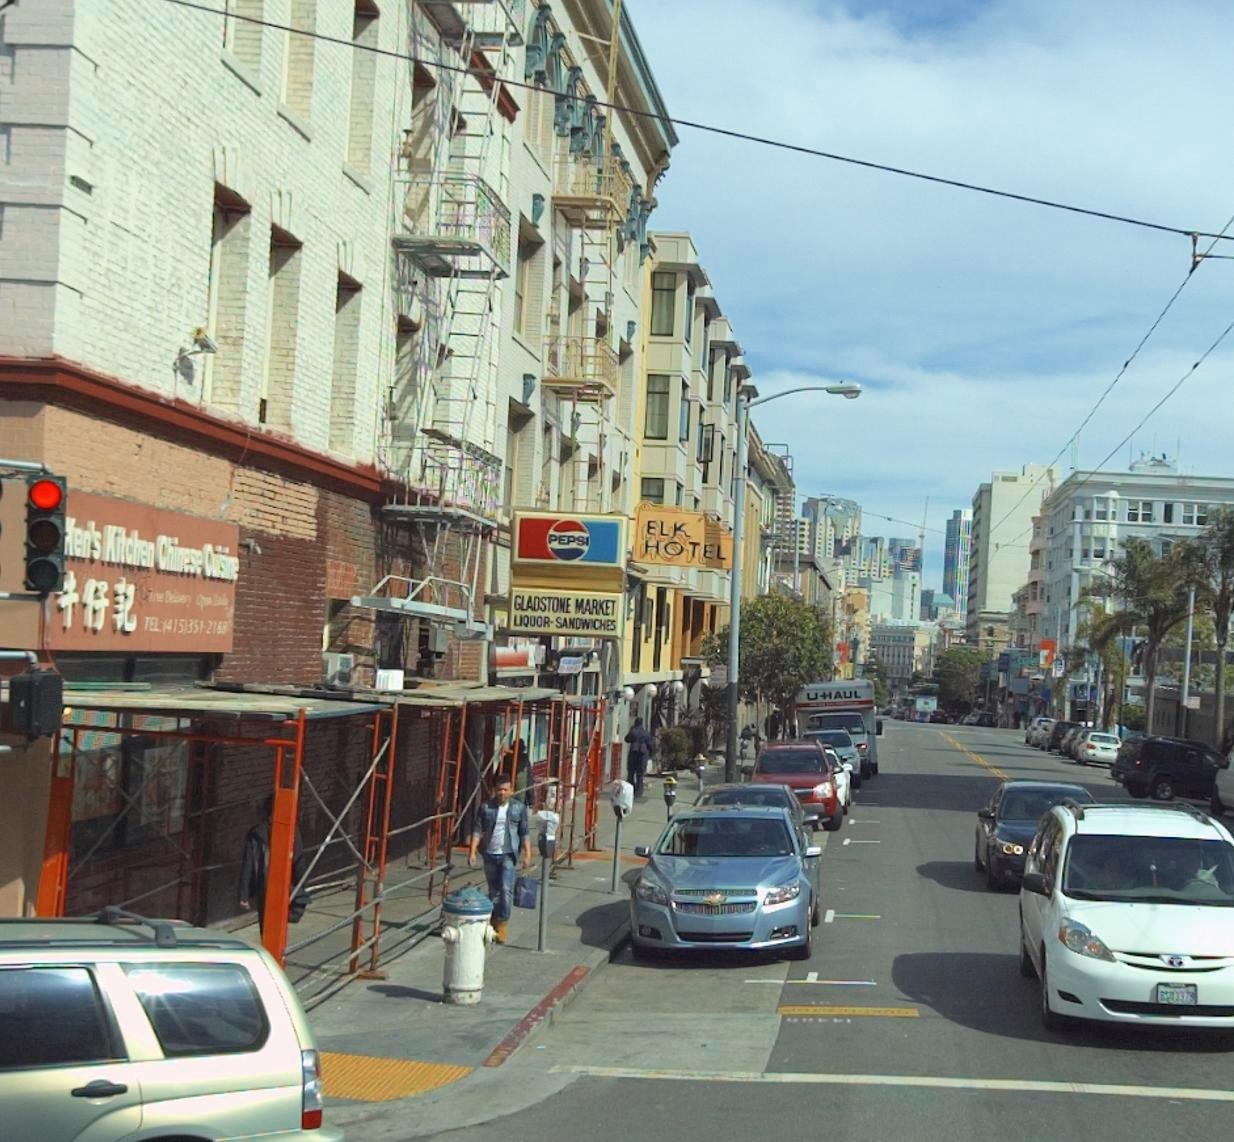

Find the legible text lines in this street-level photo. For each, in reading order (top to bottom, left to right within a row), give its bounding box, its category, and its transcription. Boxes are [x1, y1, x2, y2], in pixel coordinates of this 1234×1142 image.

[60, 513, 241, 584] BusinessName: Ken's Kitchen Chinese Cuisine
[546, 532, 591, 548] None: PEPSI
[645, 519, 693, 540] BusinessName: ELK
[641, 537, 730, 563] BusinessName: HOTEL
[143, 584, 234, 612] None: *ree Delivery Open Daily
[513, 594, 619, 618] BusinessName: GLADSTONE MARKET
[140, 614, 231, 636] None: TEL(415)351-2168
[513, 613, 618, 633] None: LIQUOR-SANDWICHES
[804, 688, 864, 703] None: UHAUL